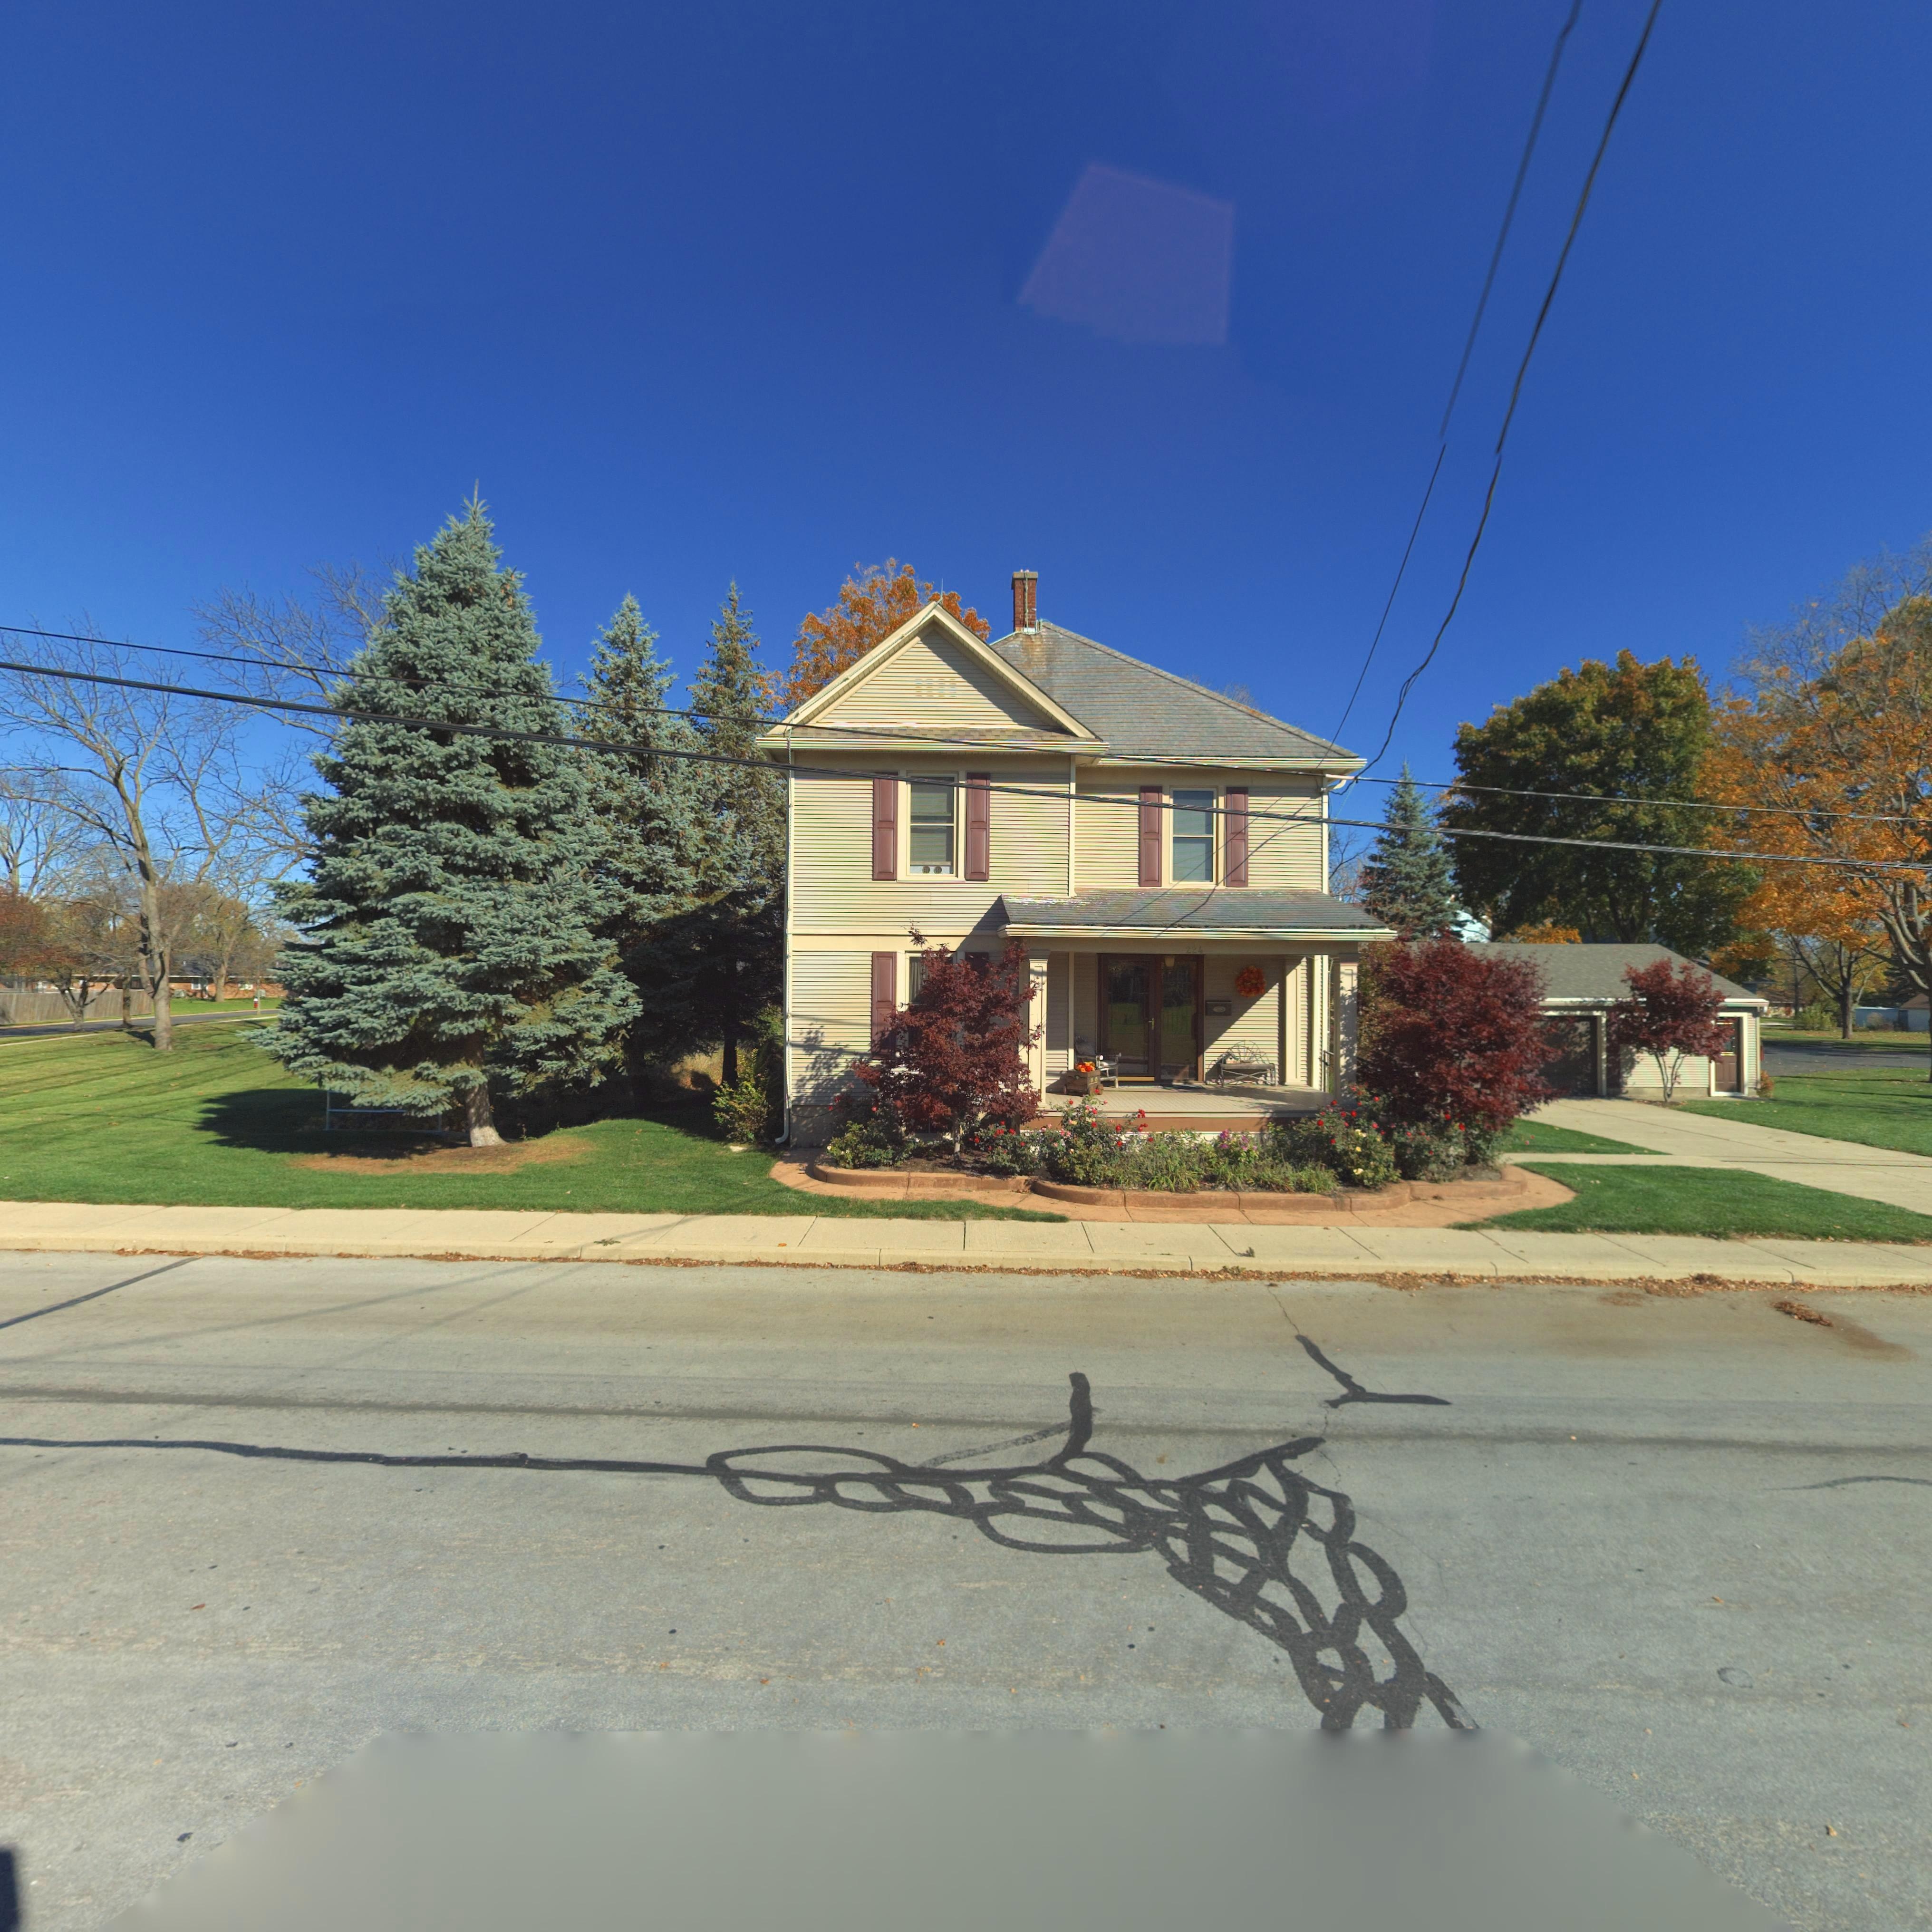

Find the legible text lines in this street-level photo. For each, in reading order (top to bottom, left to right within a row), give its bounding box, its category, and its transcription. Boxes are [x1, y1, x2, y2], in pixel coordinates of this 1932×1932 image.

[1185, 945, 1204, 954] StreetNumber: 224